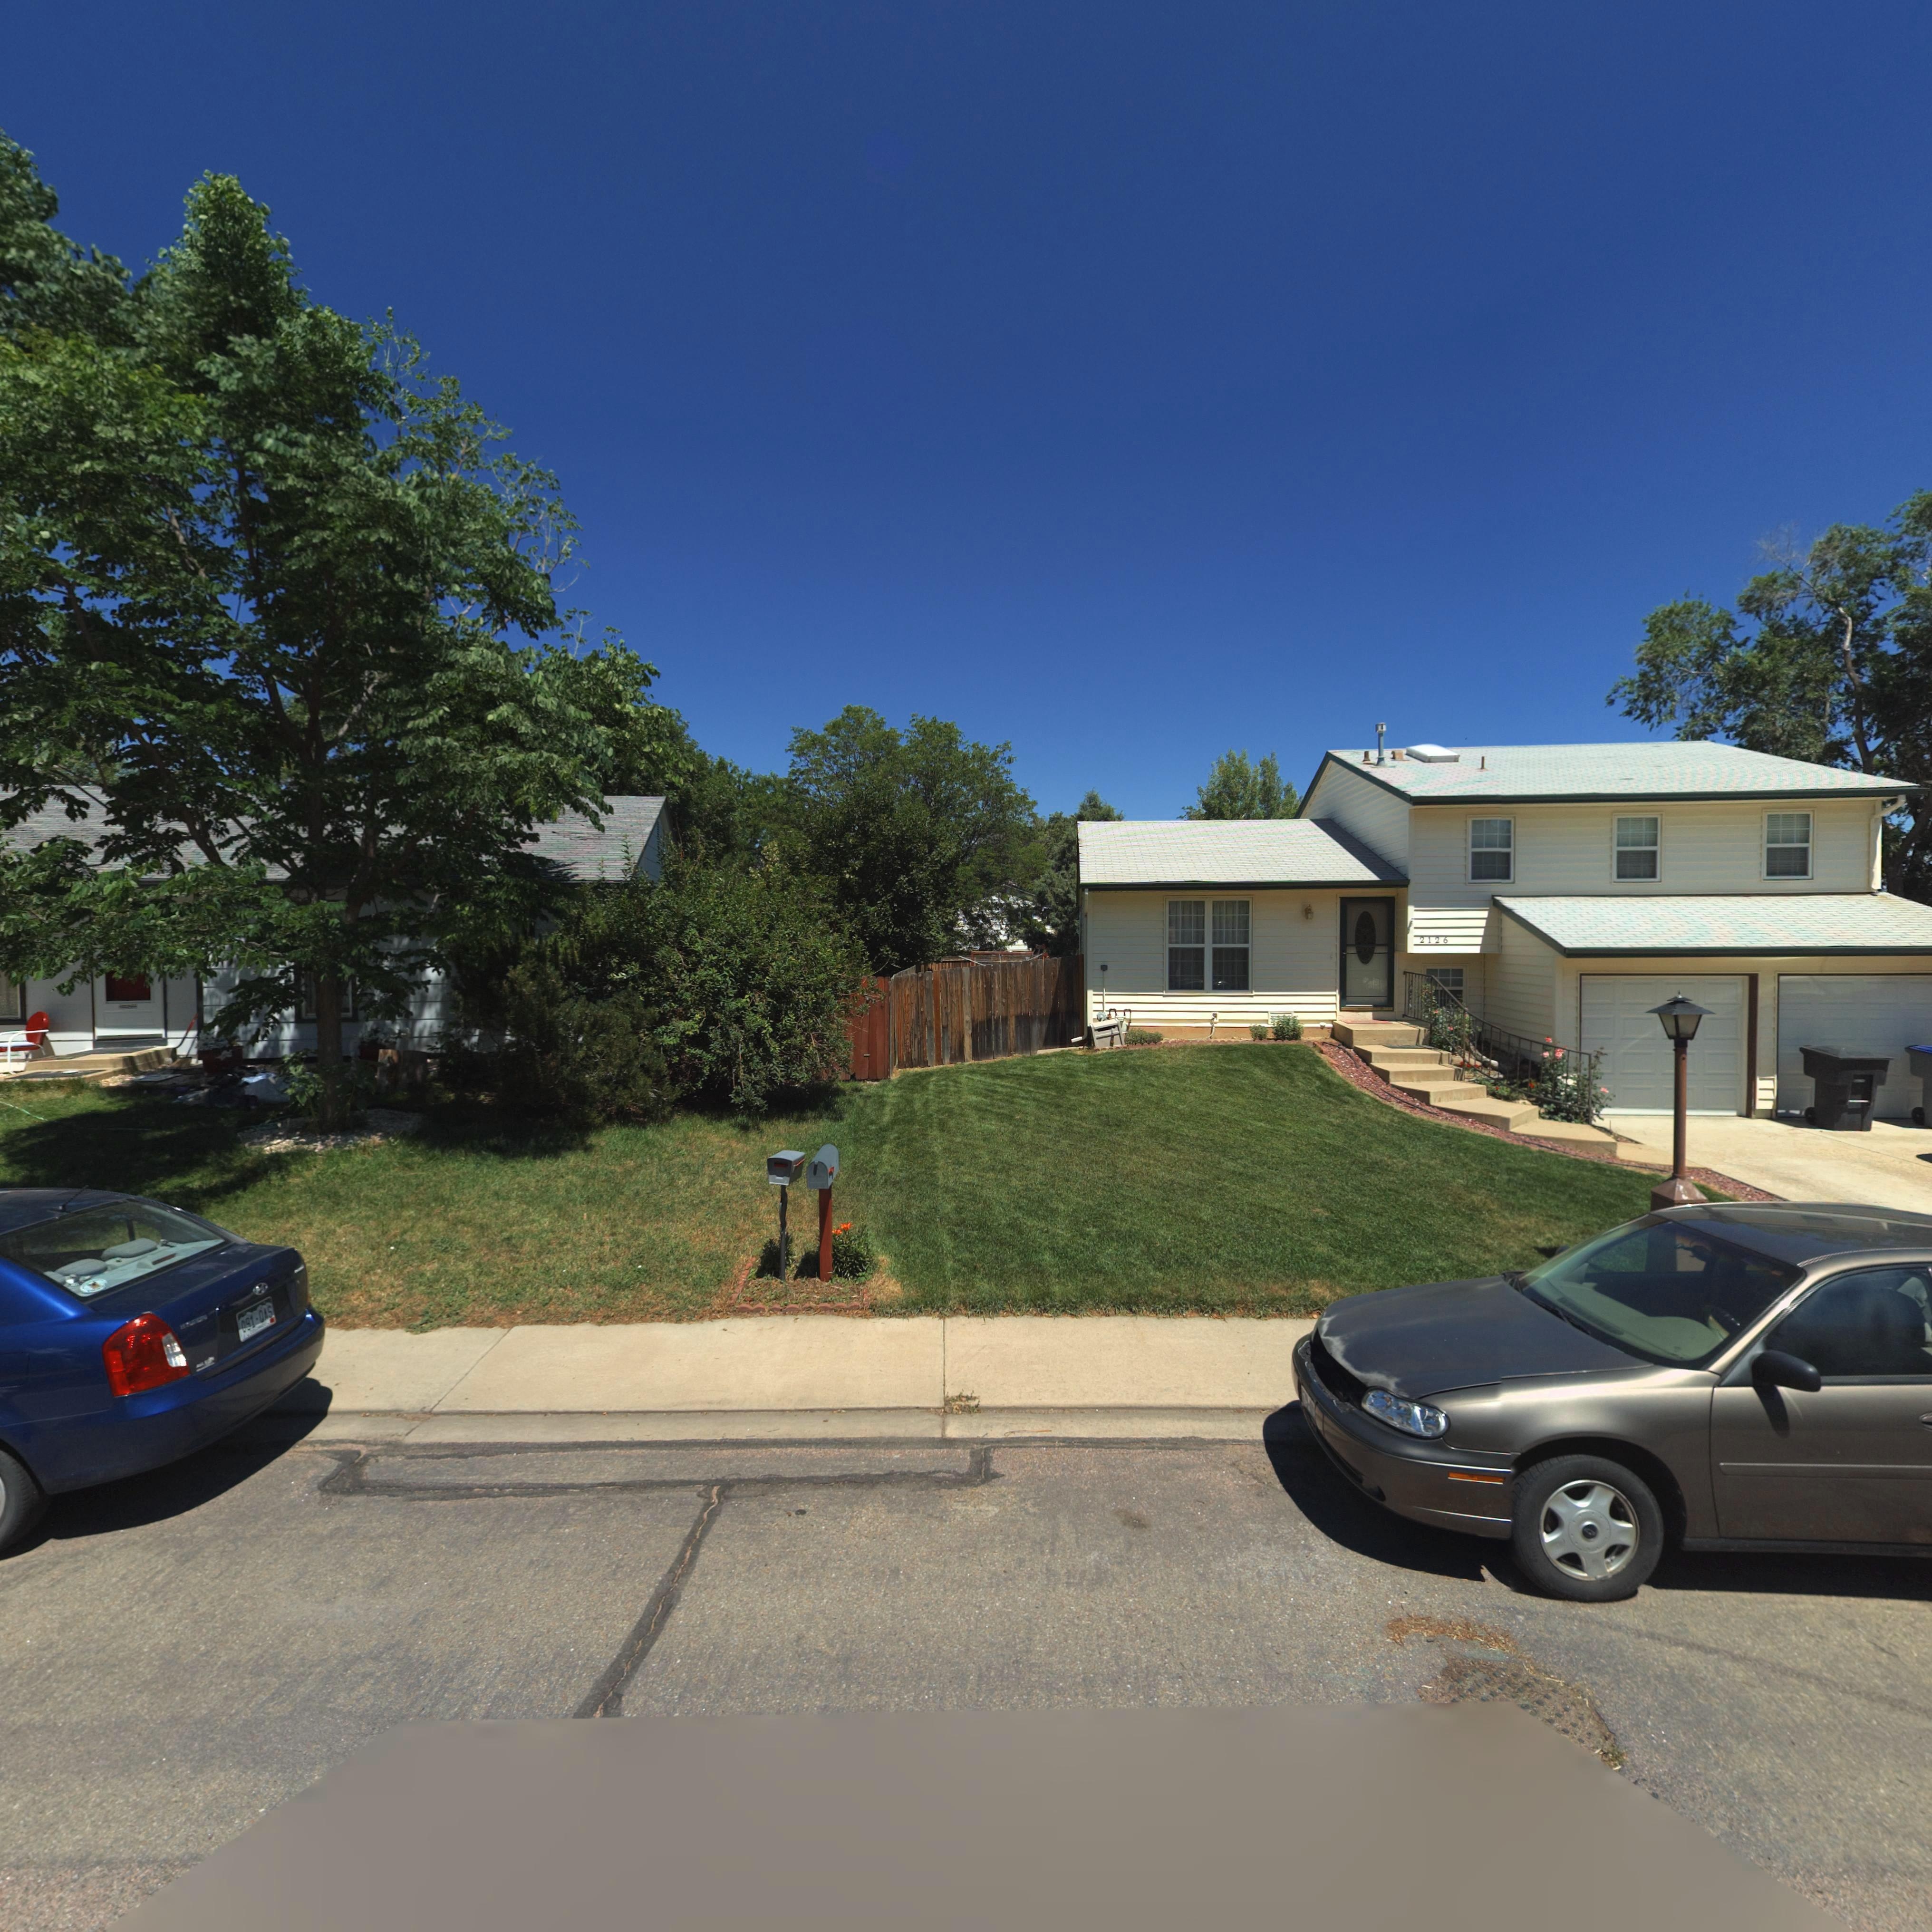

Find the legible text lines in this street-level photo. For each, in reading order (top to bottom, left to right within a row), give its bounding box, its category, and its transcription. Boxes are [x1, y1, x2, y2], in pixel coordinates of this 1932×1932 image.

[1419, 935, 1449, 944] StreetNumber: 2126